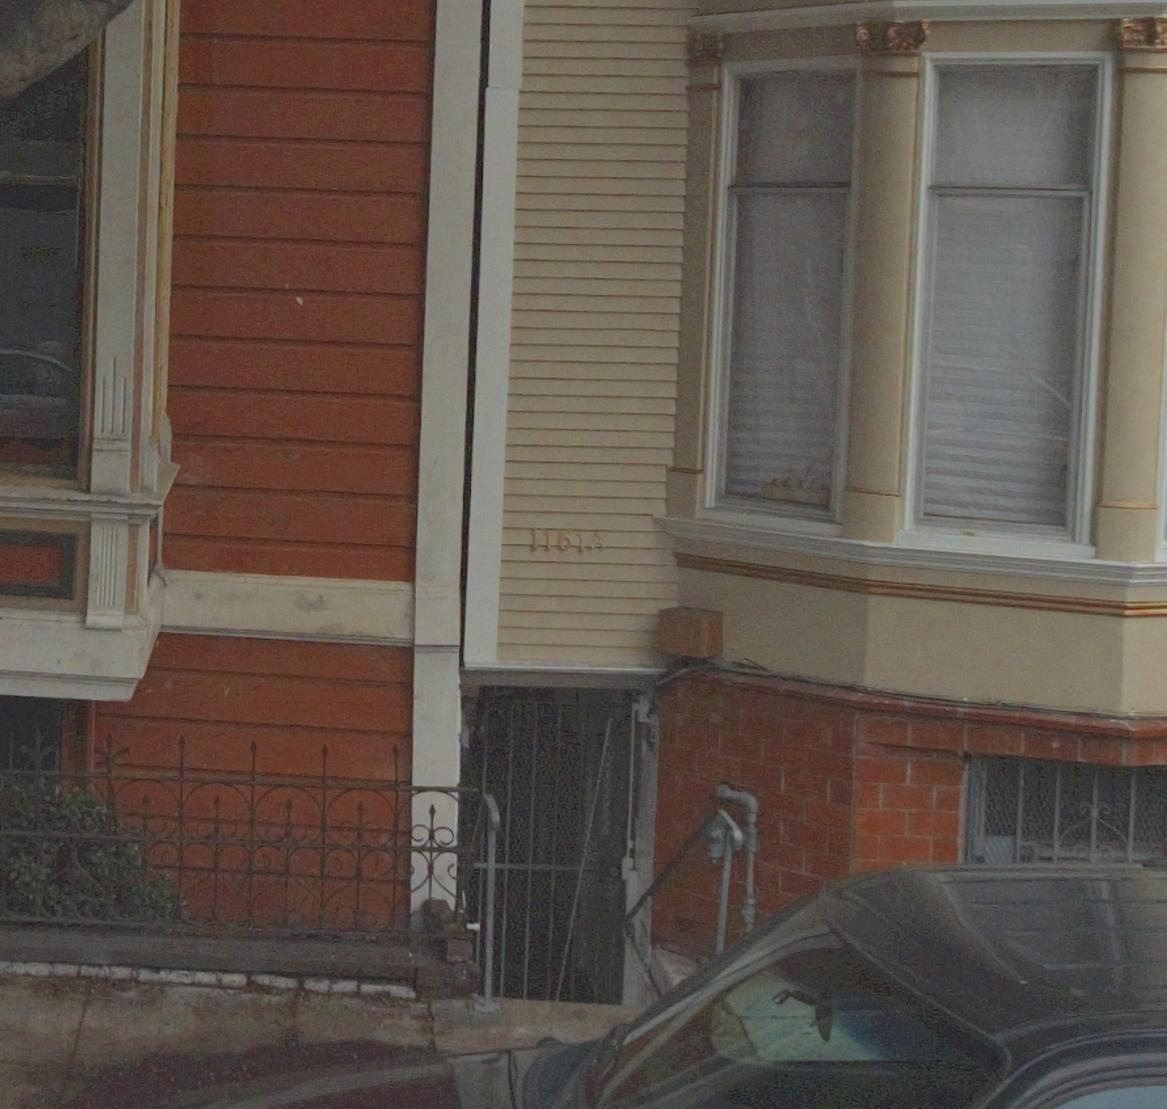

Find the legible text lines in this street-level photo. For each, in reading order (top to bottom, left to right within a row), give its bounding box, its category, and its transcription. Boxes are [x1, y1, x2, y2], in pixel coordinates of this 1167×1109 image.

[527, 527, 606, 554] StreetNumber: 1161A